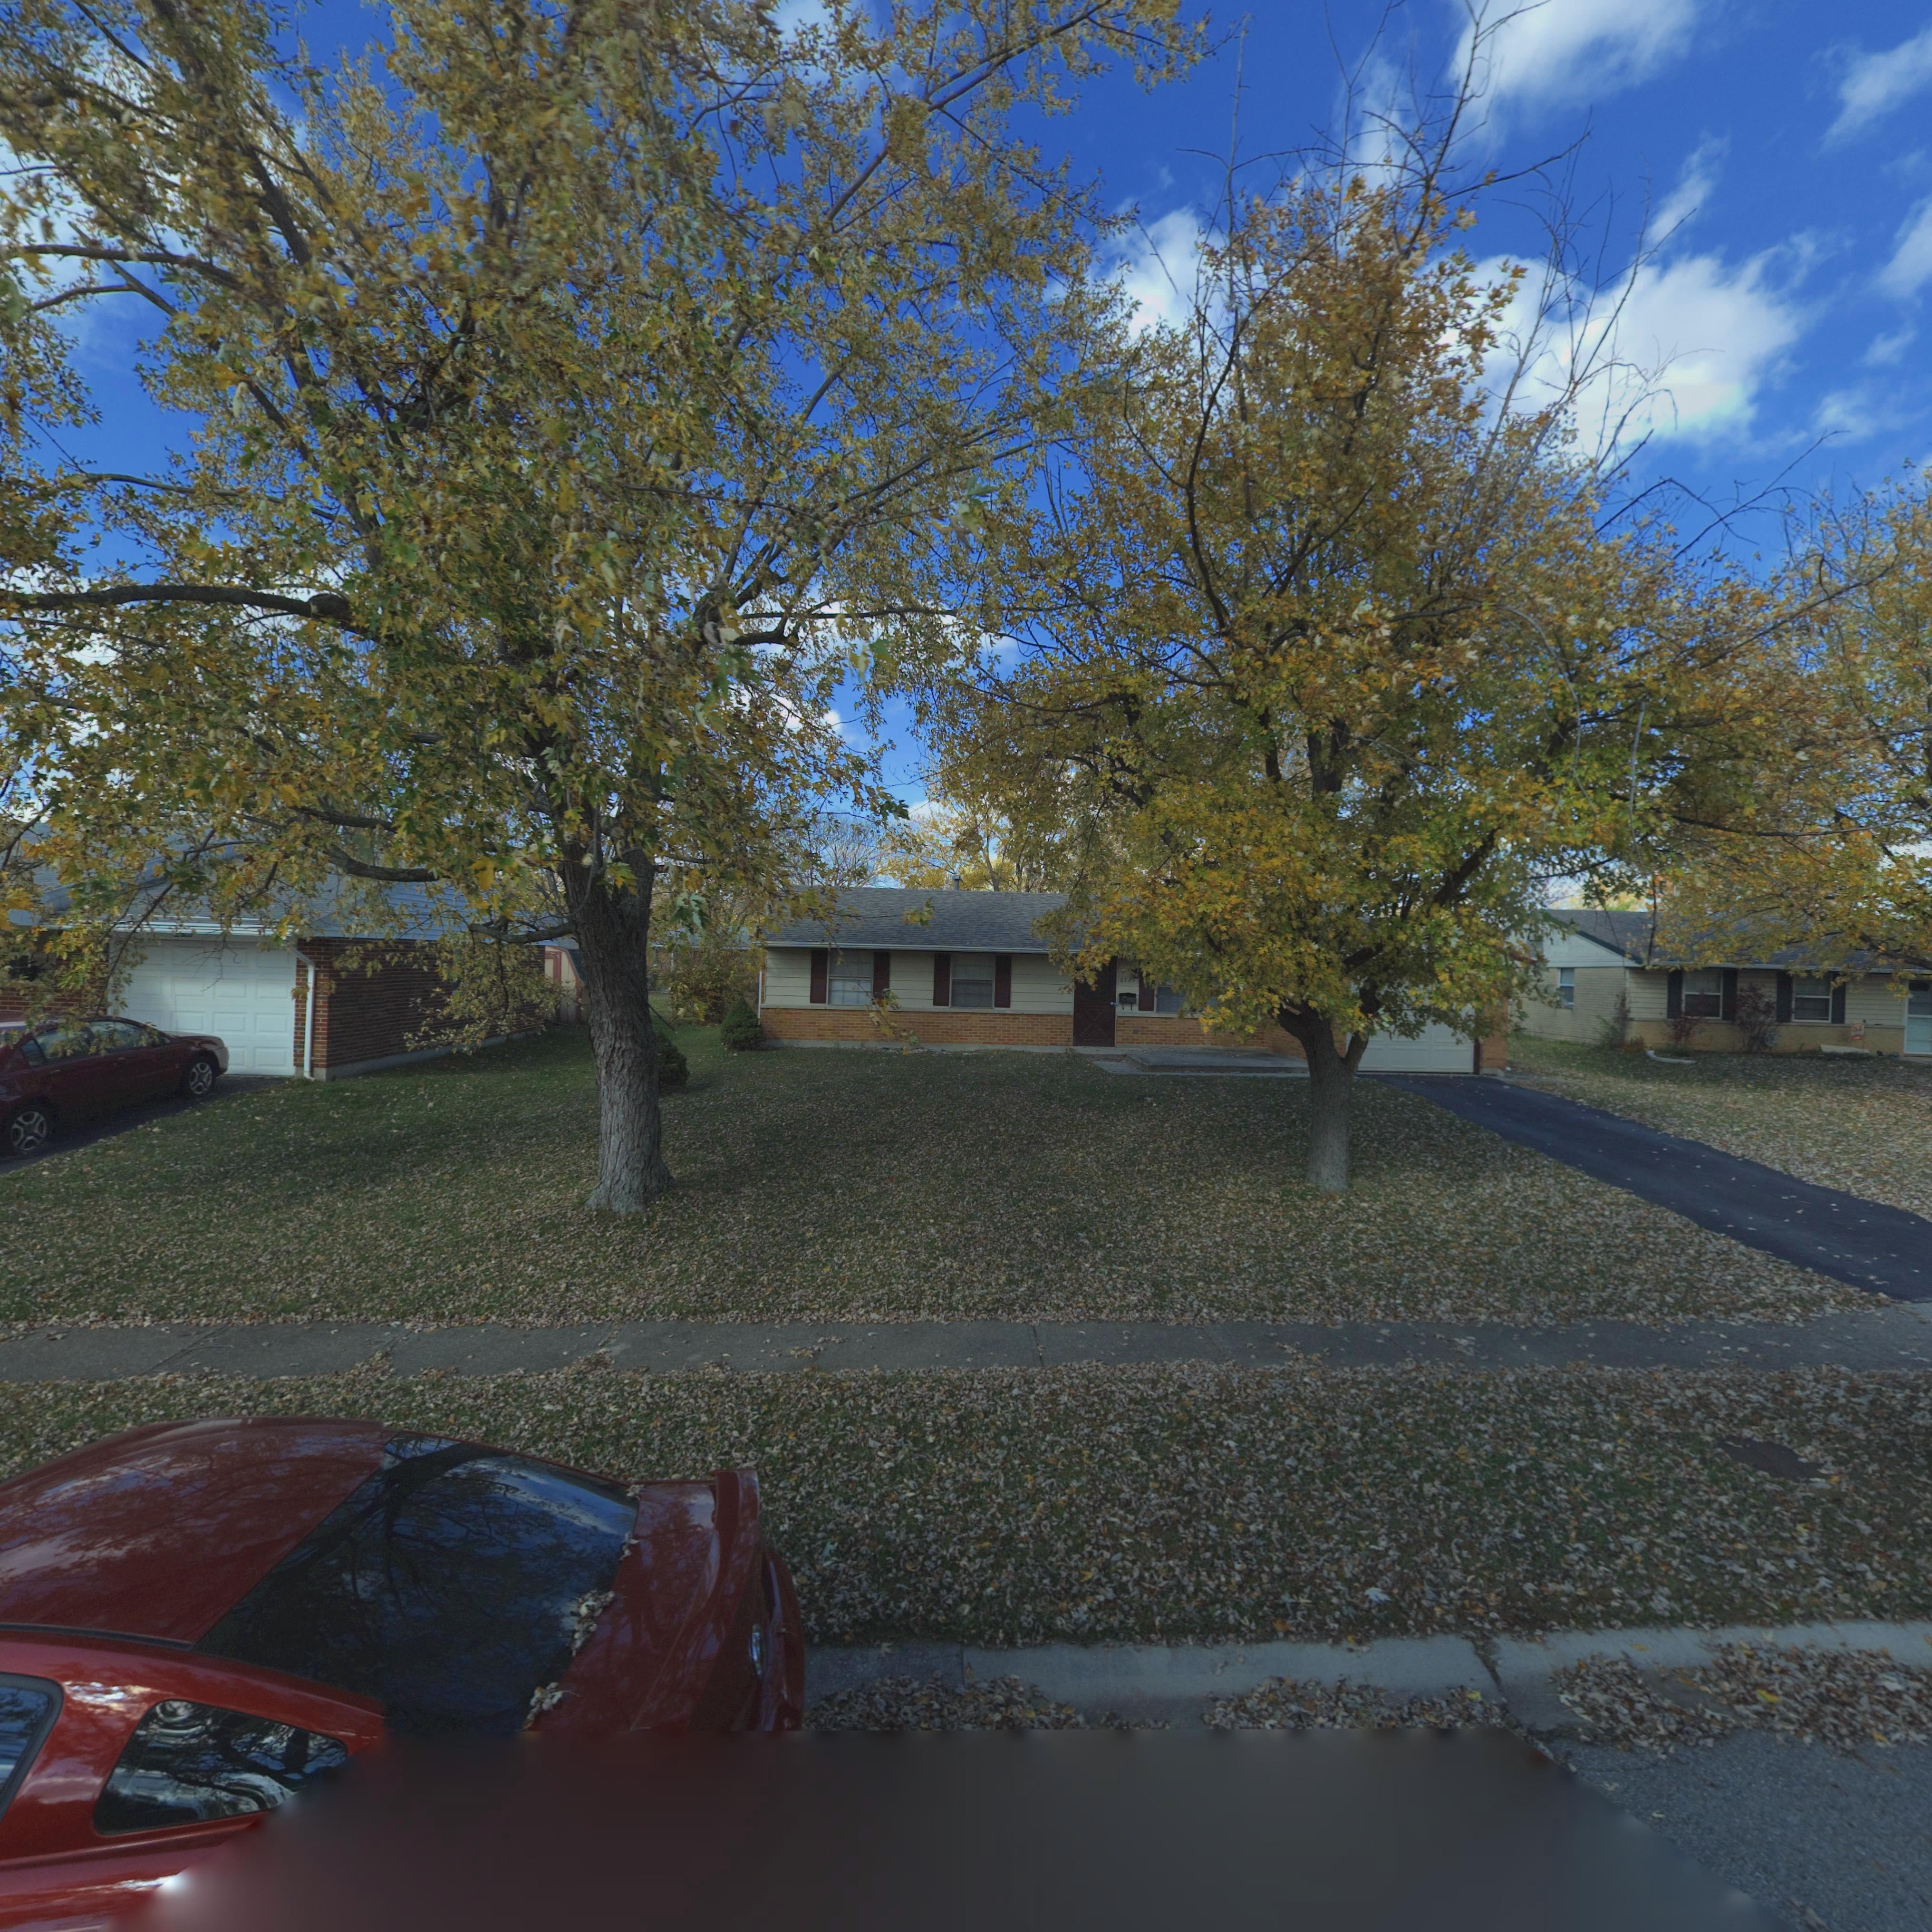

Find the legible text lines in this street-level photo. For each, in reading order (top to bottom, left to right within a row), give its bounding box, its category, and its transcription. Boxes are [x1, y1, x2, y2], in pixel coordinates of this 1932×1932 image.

[1120, 977, 1135, 983] StreetNumber: 6721